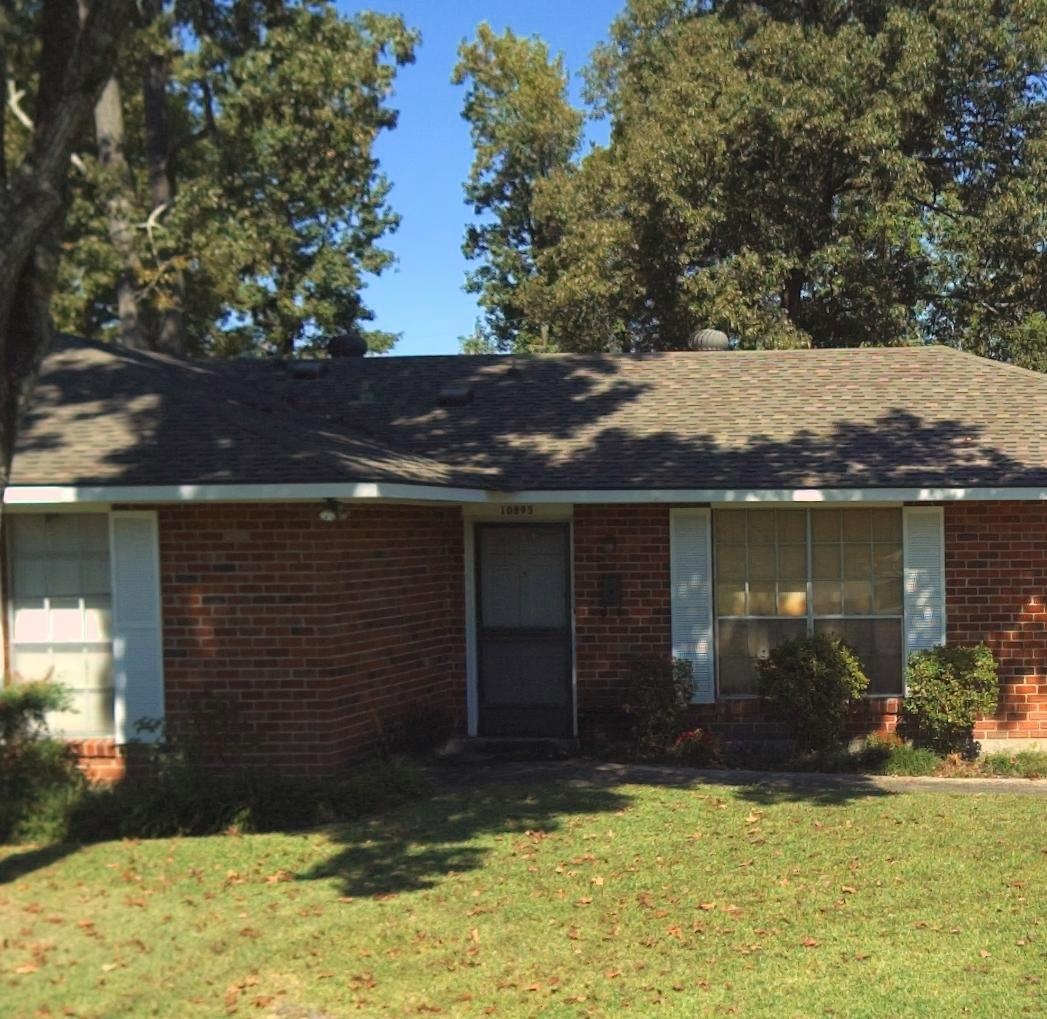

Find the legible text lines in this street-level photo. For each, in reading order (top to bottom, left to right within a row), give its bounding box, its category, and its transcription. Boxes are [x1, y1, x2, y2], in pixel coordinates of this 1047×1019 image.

[499, 504, 535, 516] StreetNumber: 10895